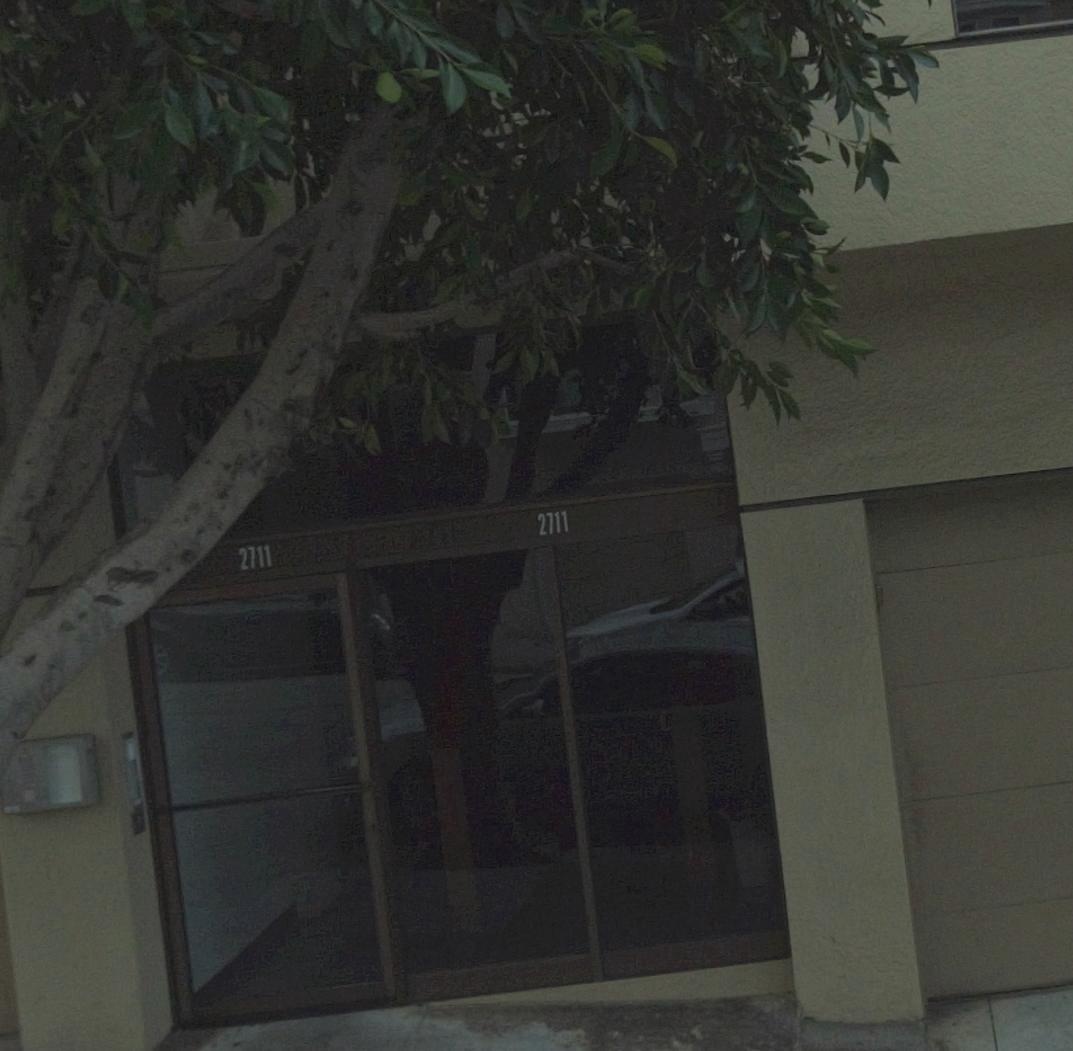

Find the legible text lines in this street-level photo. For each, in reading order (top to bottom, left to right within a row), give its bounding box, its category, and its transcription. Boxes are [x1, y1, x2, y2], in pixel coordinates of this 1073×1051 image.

[535, 507, 572, 539] StreetNumber: 2711
[236, 541, 276, 573] StreetNumber: 2711